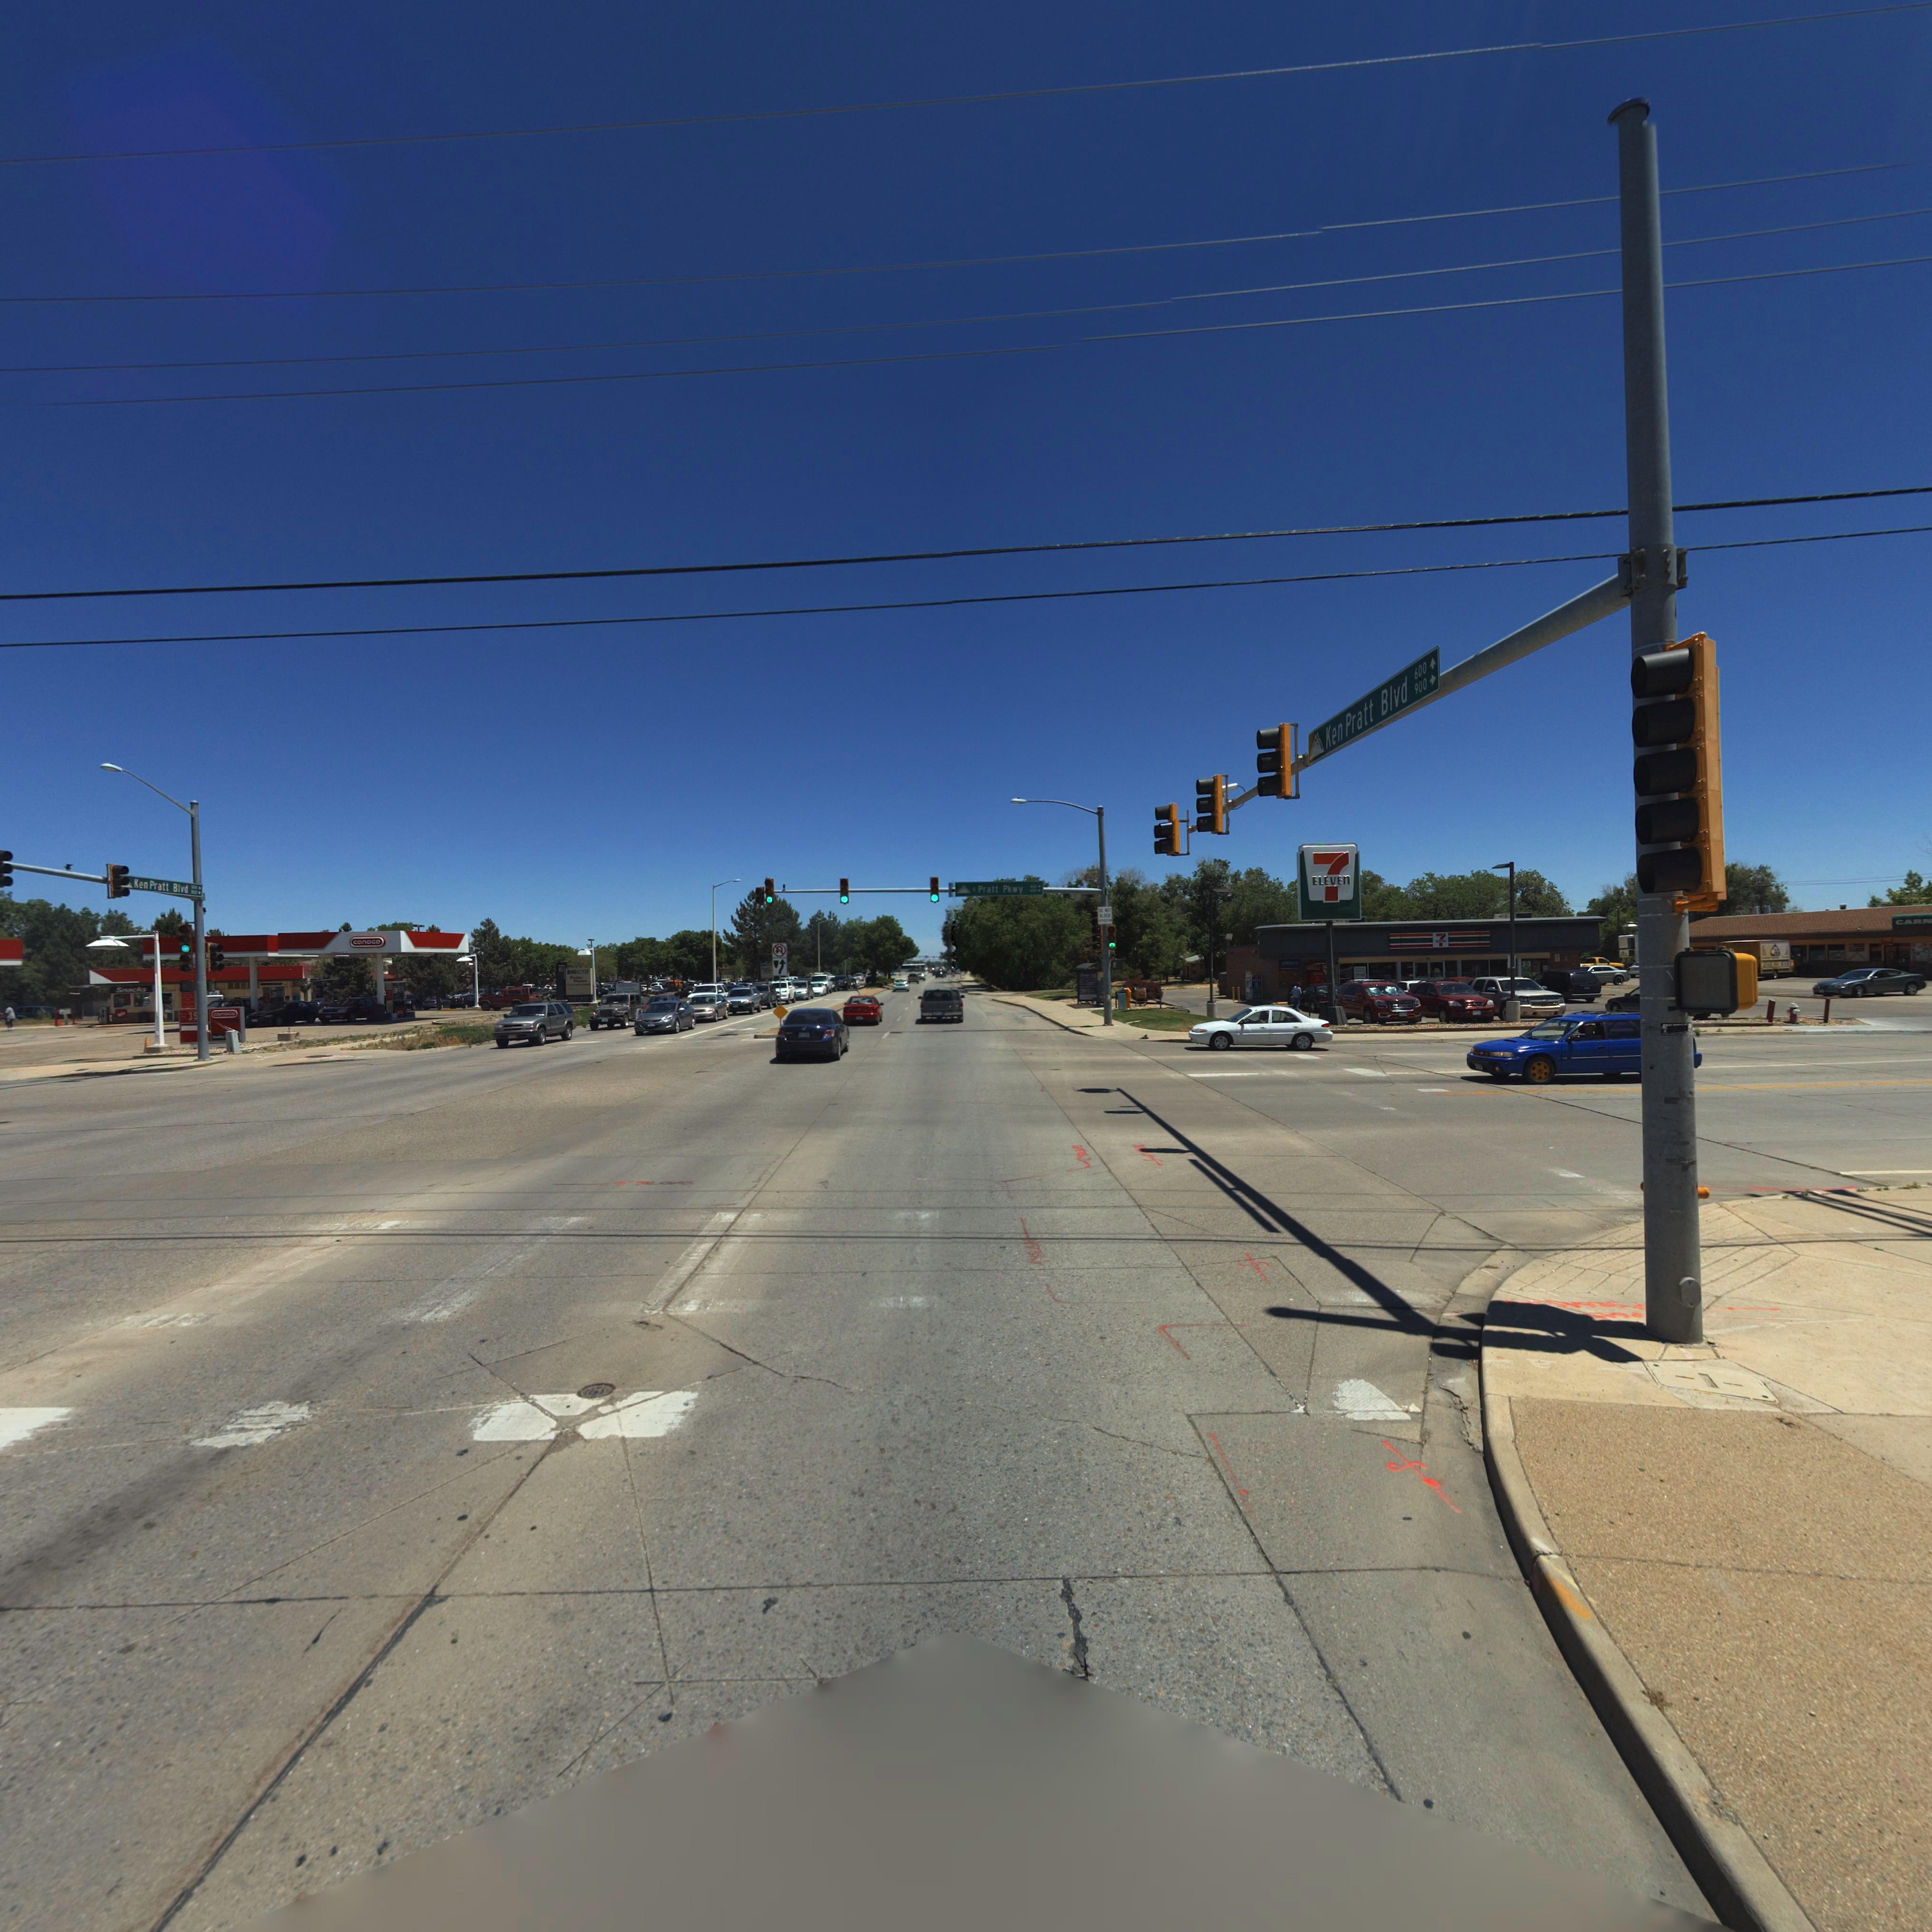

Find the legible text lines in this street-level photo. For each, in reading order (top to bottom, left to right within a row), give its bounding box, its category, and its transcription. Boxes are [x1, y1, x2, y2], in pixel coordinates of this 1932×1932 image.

[1413, 660, 1428, 680] StreetNumberRange: 600
[1414, 673, 1437, 696] StreetNumberRange: 900->
[1324, 674, 1410, 750] StreetName: Ken Pratt Blvd
[133, 877, 189, 894] StreetName: Ken Pratt Blvd
[972, 884, 1024, 895] StreetName: S Pratt Pkwy
[1311, 874, 1351, 886] BusinessName: ELEVEN
[1312, 850, 1350, 903] BusinessName: 7
[1895, 918, 1922, 926] BusinessName: CAR
[353, 939, 381, 945] BusinessName: conoco
[1435, 933, 1446, 947] BusinessName: 7
[567, 969, 589, 975] BusinessName: BIG LOTS!
[213, 1012, 236, 1016] BusinessName: conoco